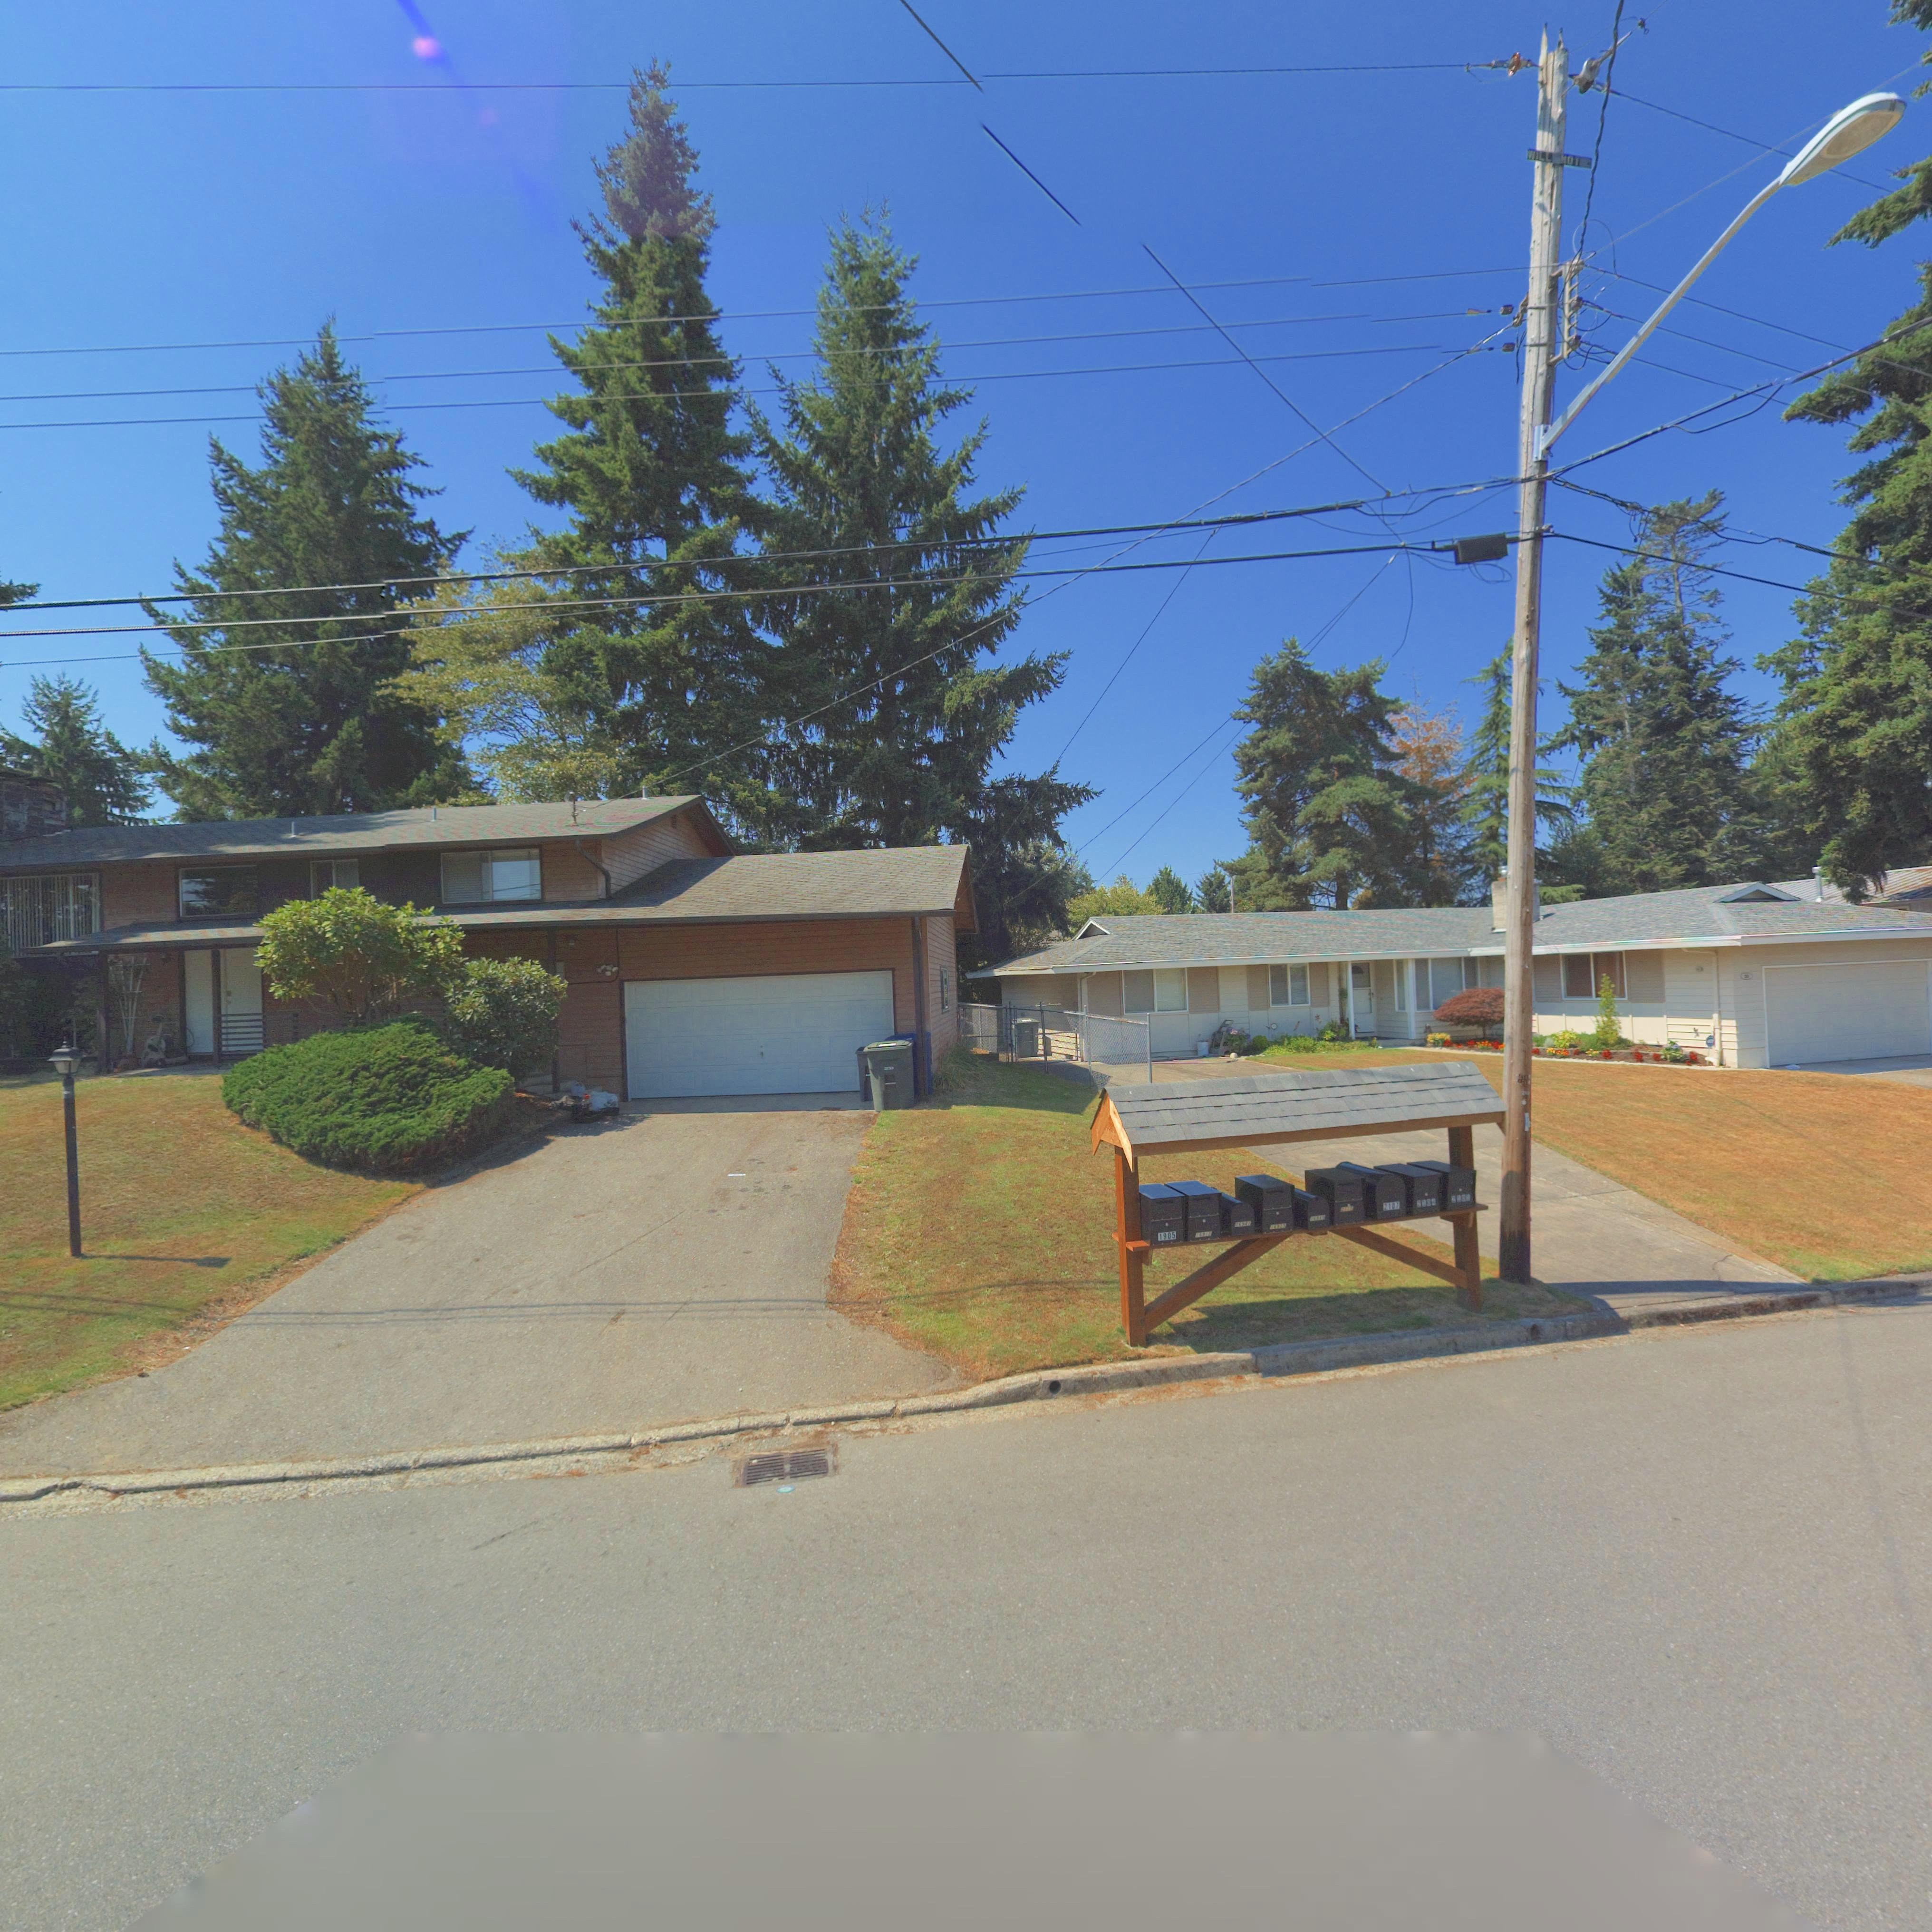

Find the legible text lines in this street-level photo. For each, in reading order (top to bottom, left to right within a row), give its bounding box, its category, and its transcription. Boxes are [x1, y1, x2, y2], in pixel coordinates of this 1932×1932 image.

[1159, 1231, 1175, 1241] StreetNumber: 1905